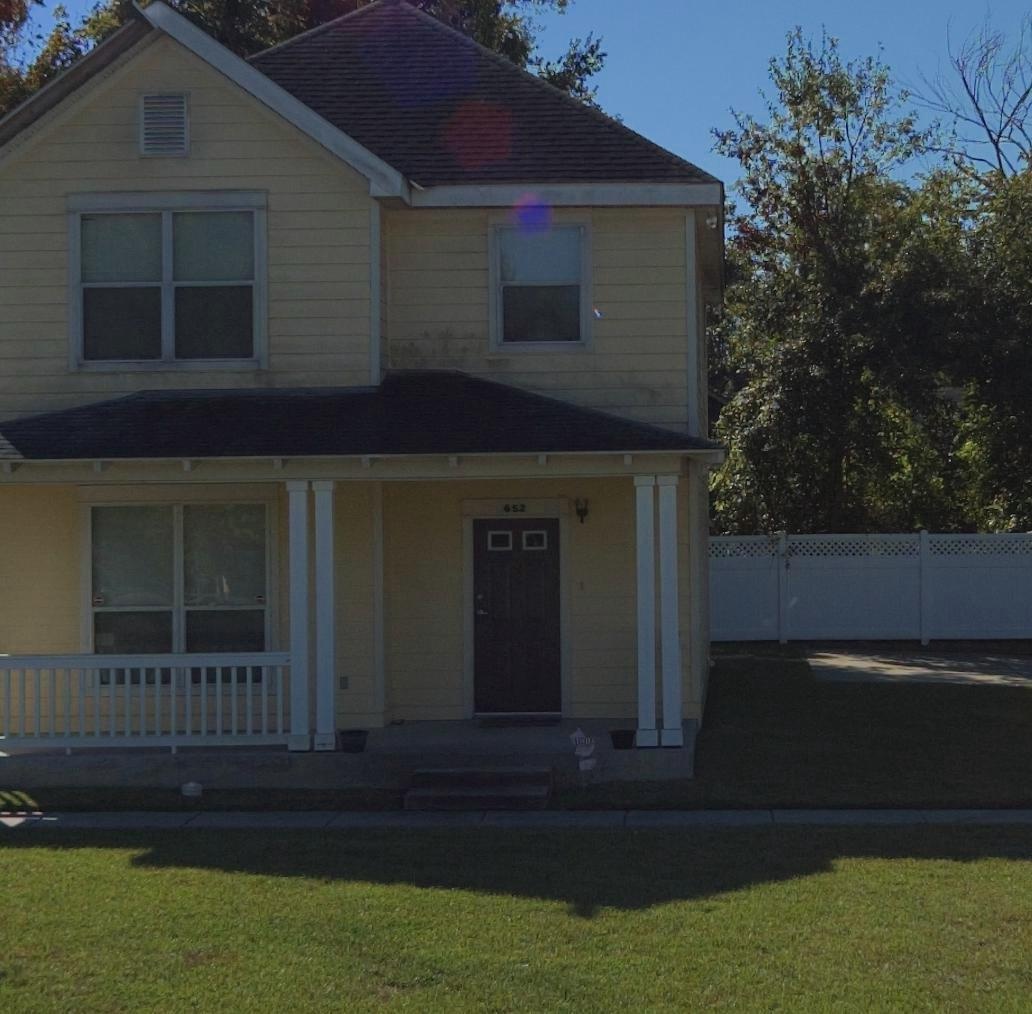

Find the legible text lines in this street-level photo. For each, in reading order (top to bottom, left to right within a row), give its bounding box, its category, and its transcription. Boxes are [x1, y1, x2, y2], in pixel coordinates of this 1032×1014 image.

[510, 502, 527, 514] StreetNumber: 52